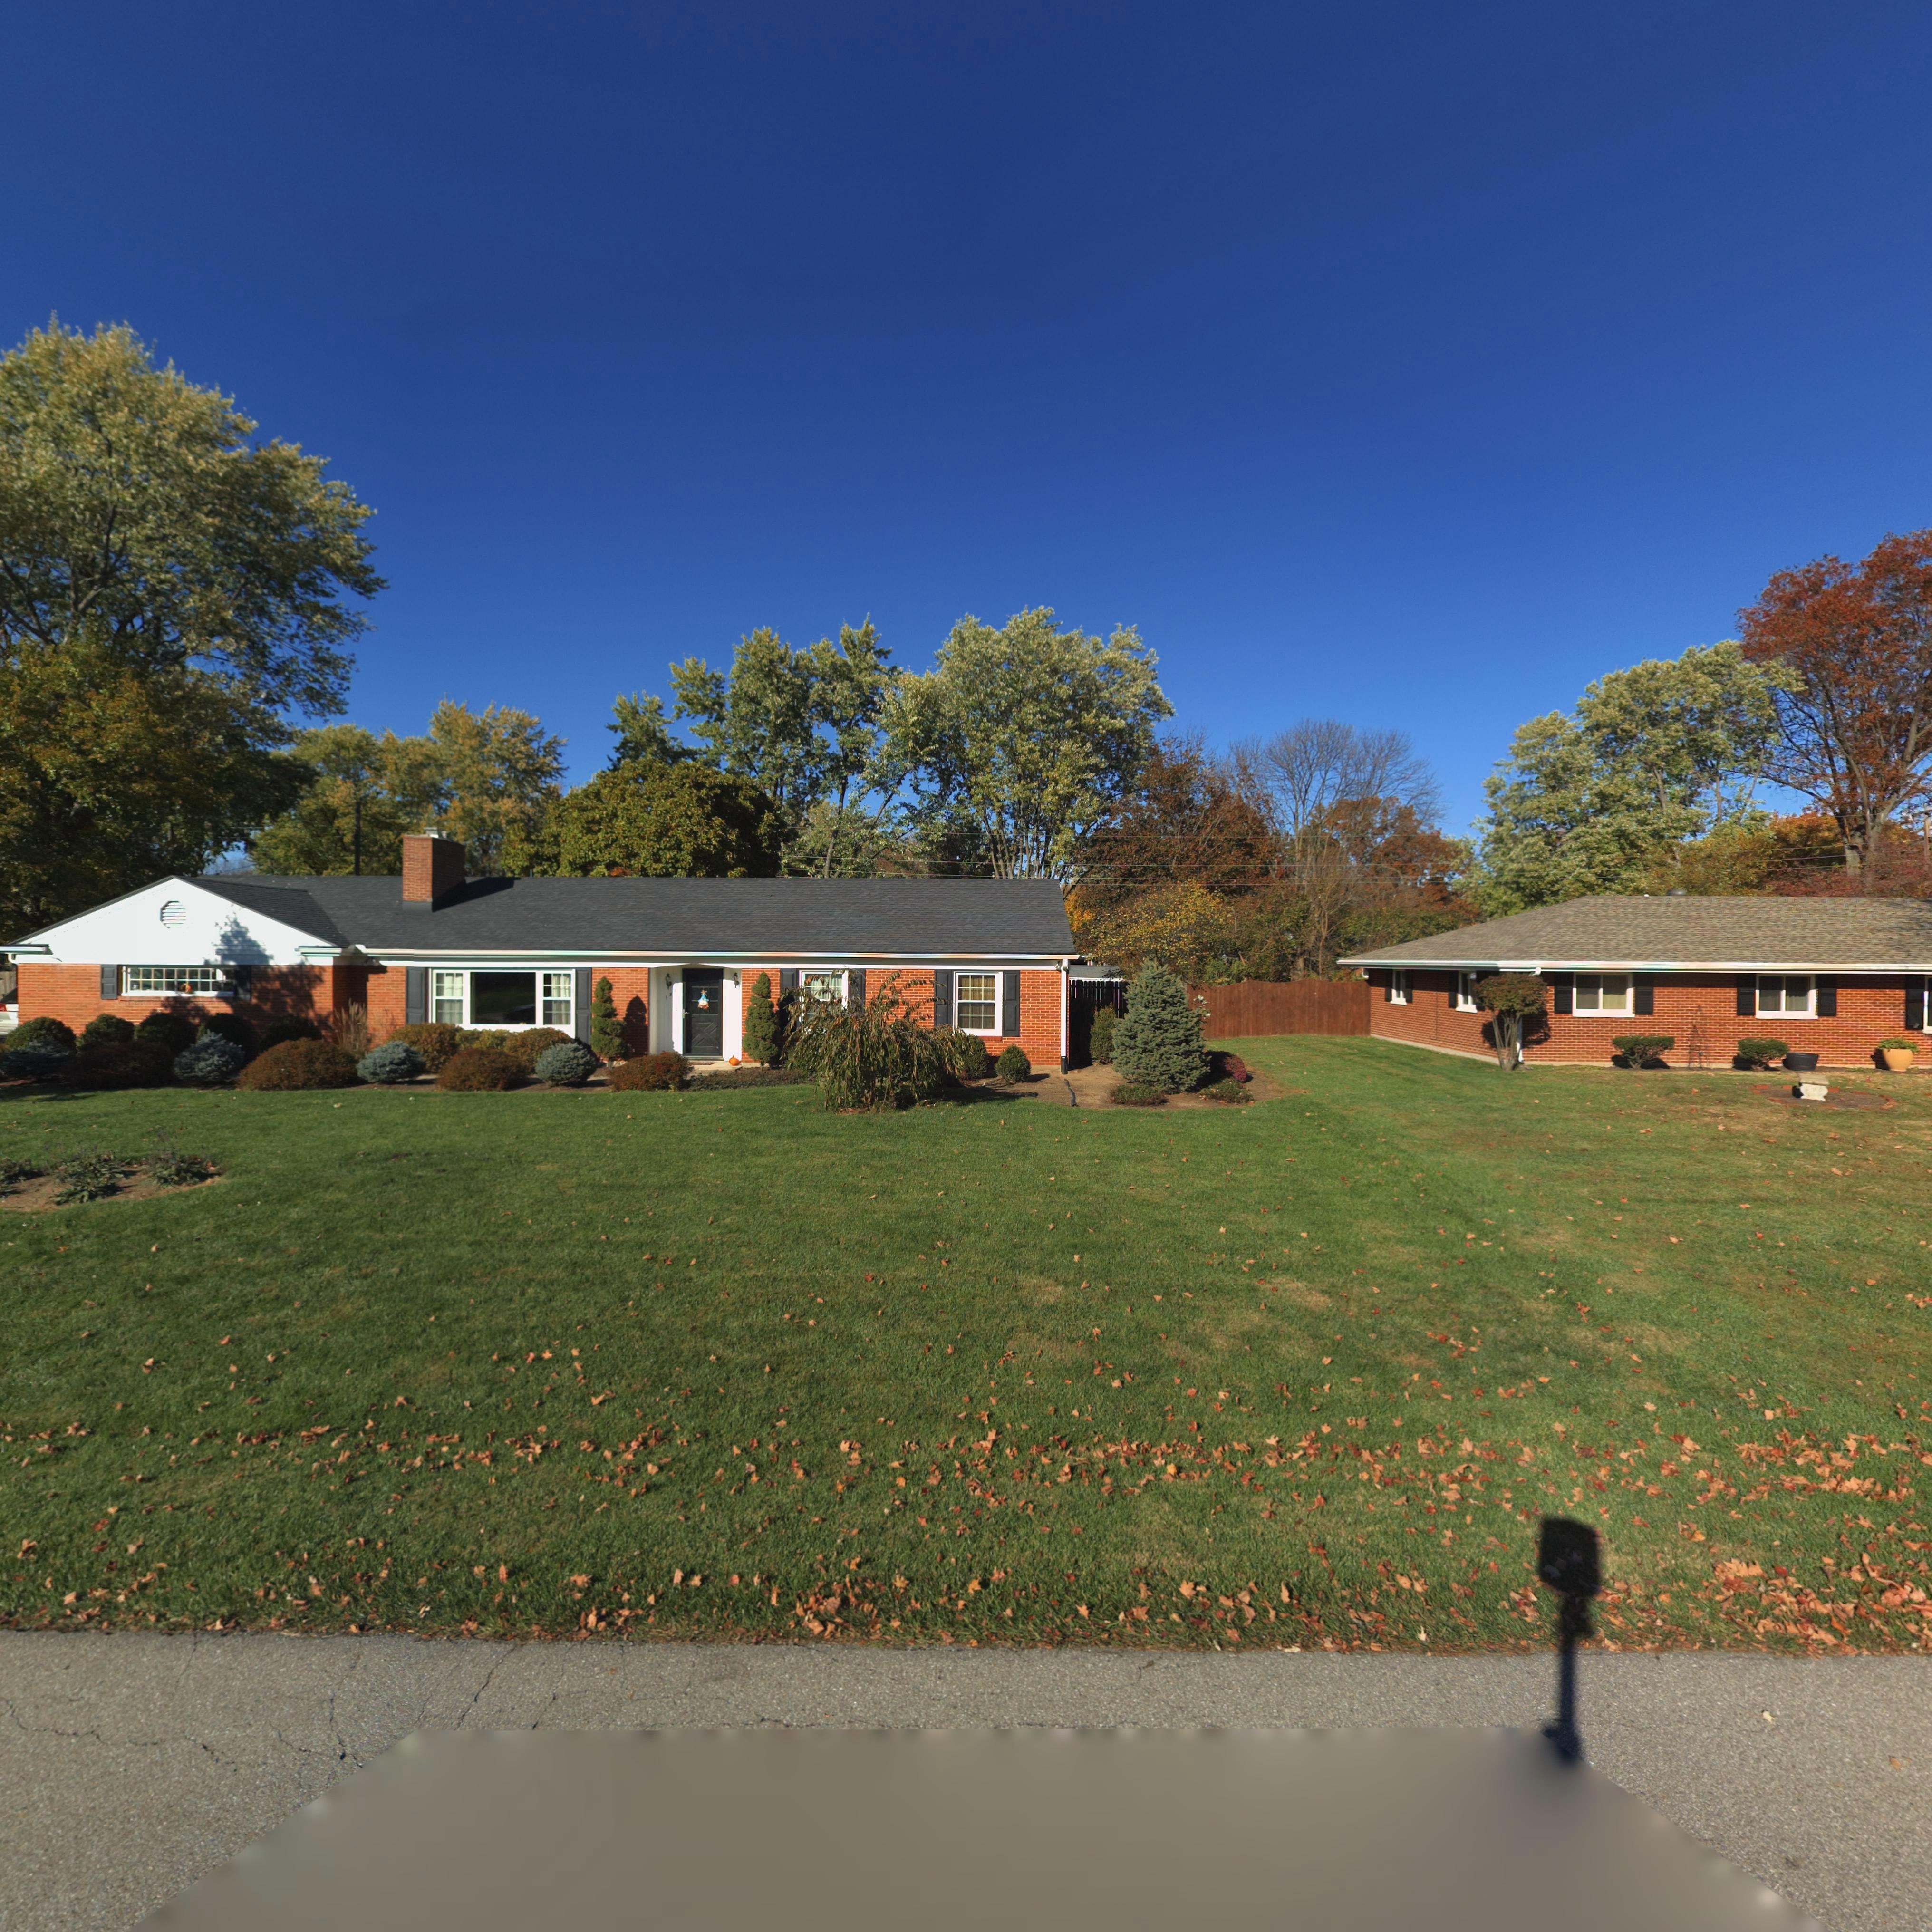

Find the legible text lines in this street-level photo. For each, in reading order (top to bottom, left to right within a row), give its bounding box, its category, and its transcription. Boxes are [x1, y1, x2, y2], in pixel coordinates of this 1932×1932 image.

[665, 987, 677, 1002] StreetNumber: 187